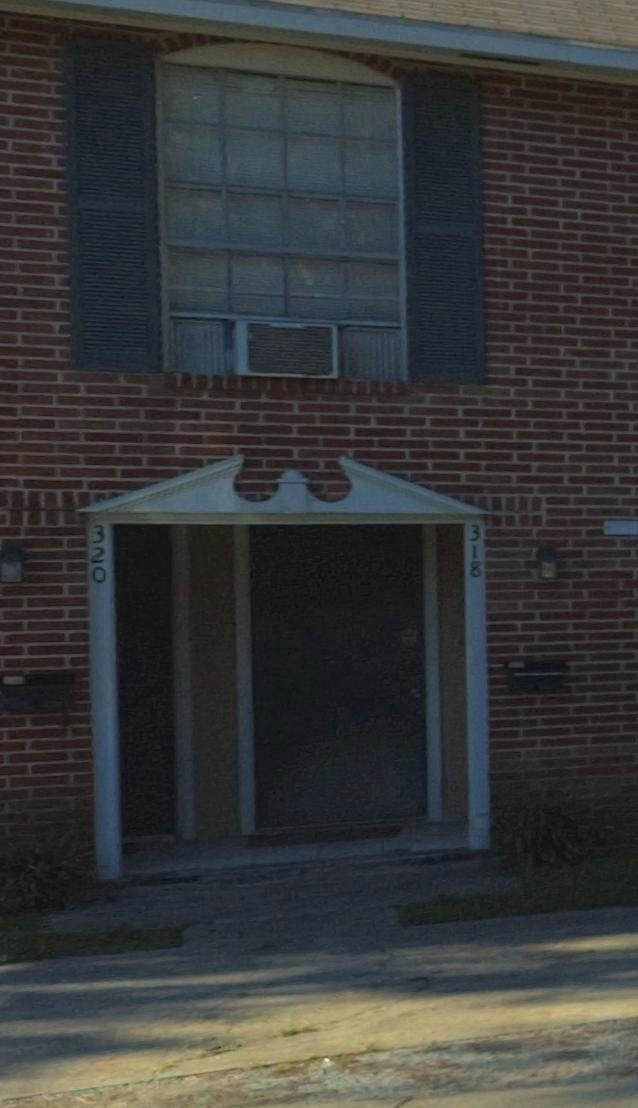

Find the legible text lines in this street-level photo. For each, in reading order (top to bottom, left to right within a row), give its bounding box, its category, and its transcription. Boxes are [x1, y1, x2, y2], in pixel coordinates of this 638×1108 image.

[86, 522, 109, 586] StreetNumber: 320
[467, 522, 484, 582] StreetNumber: 318